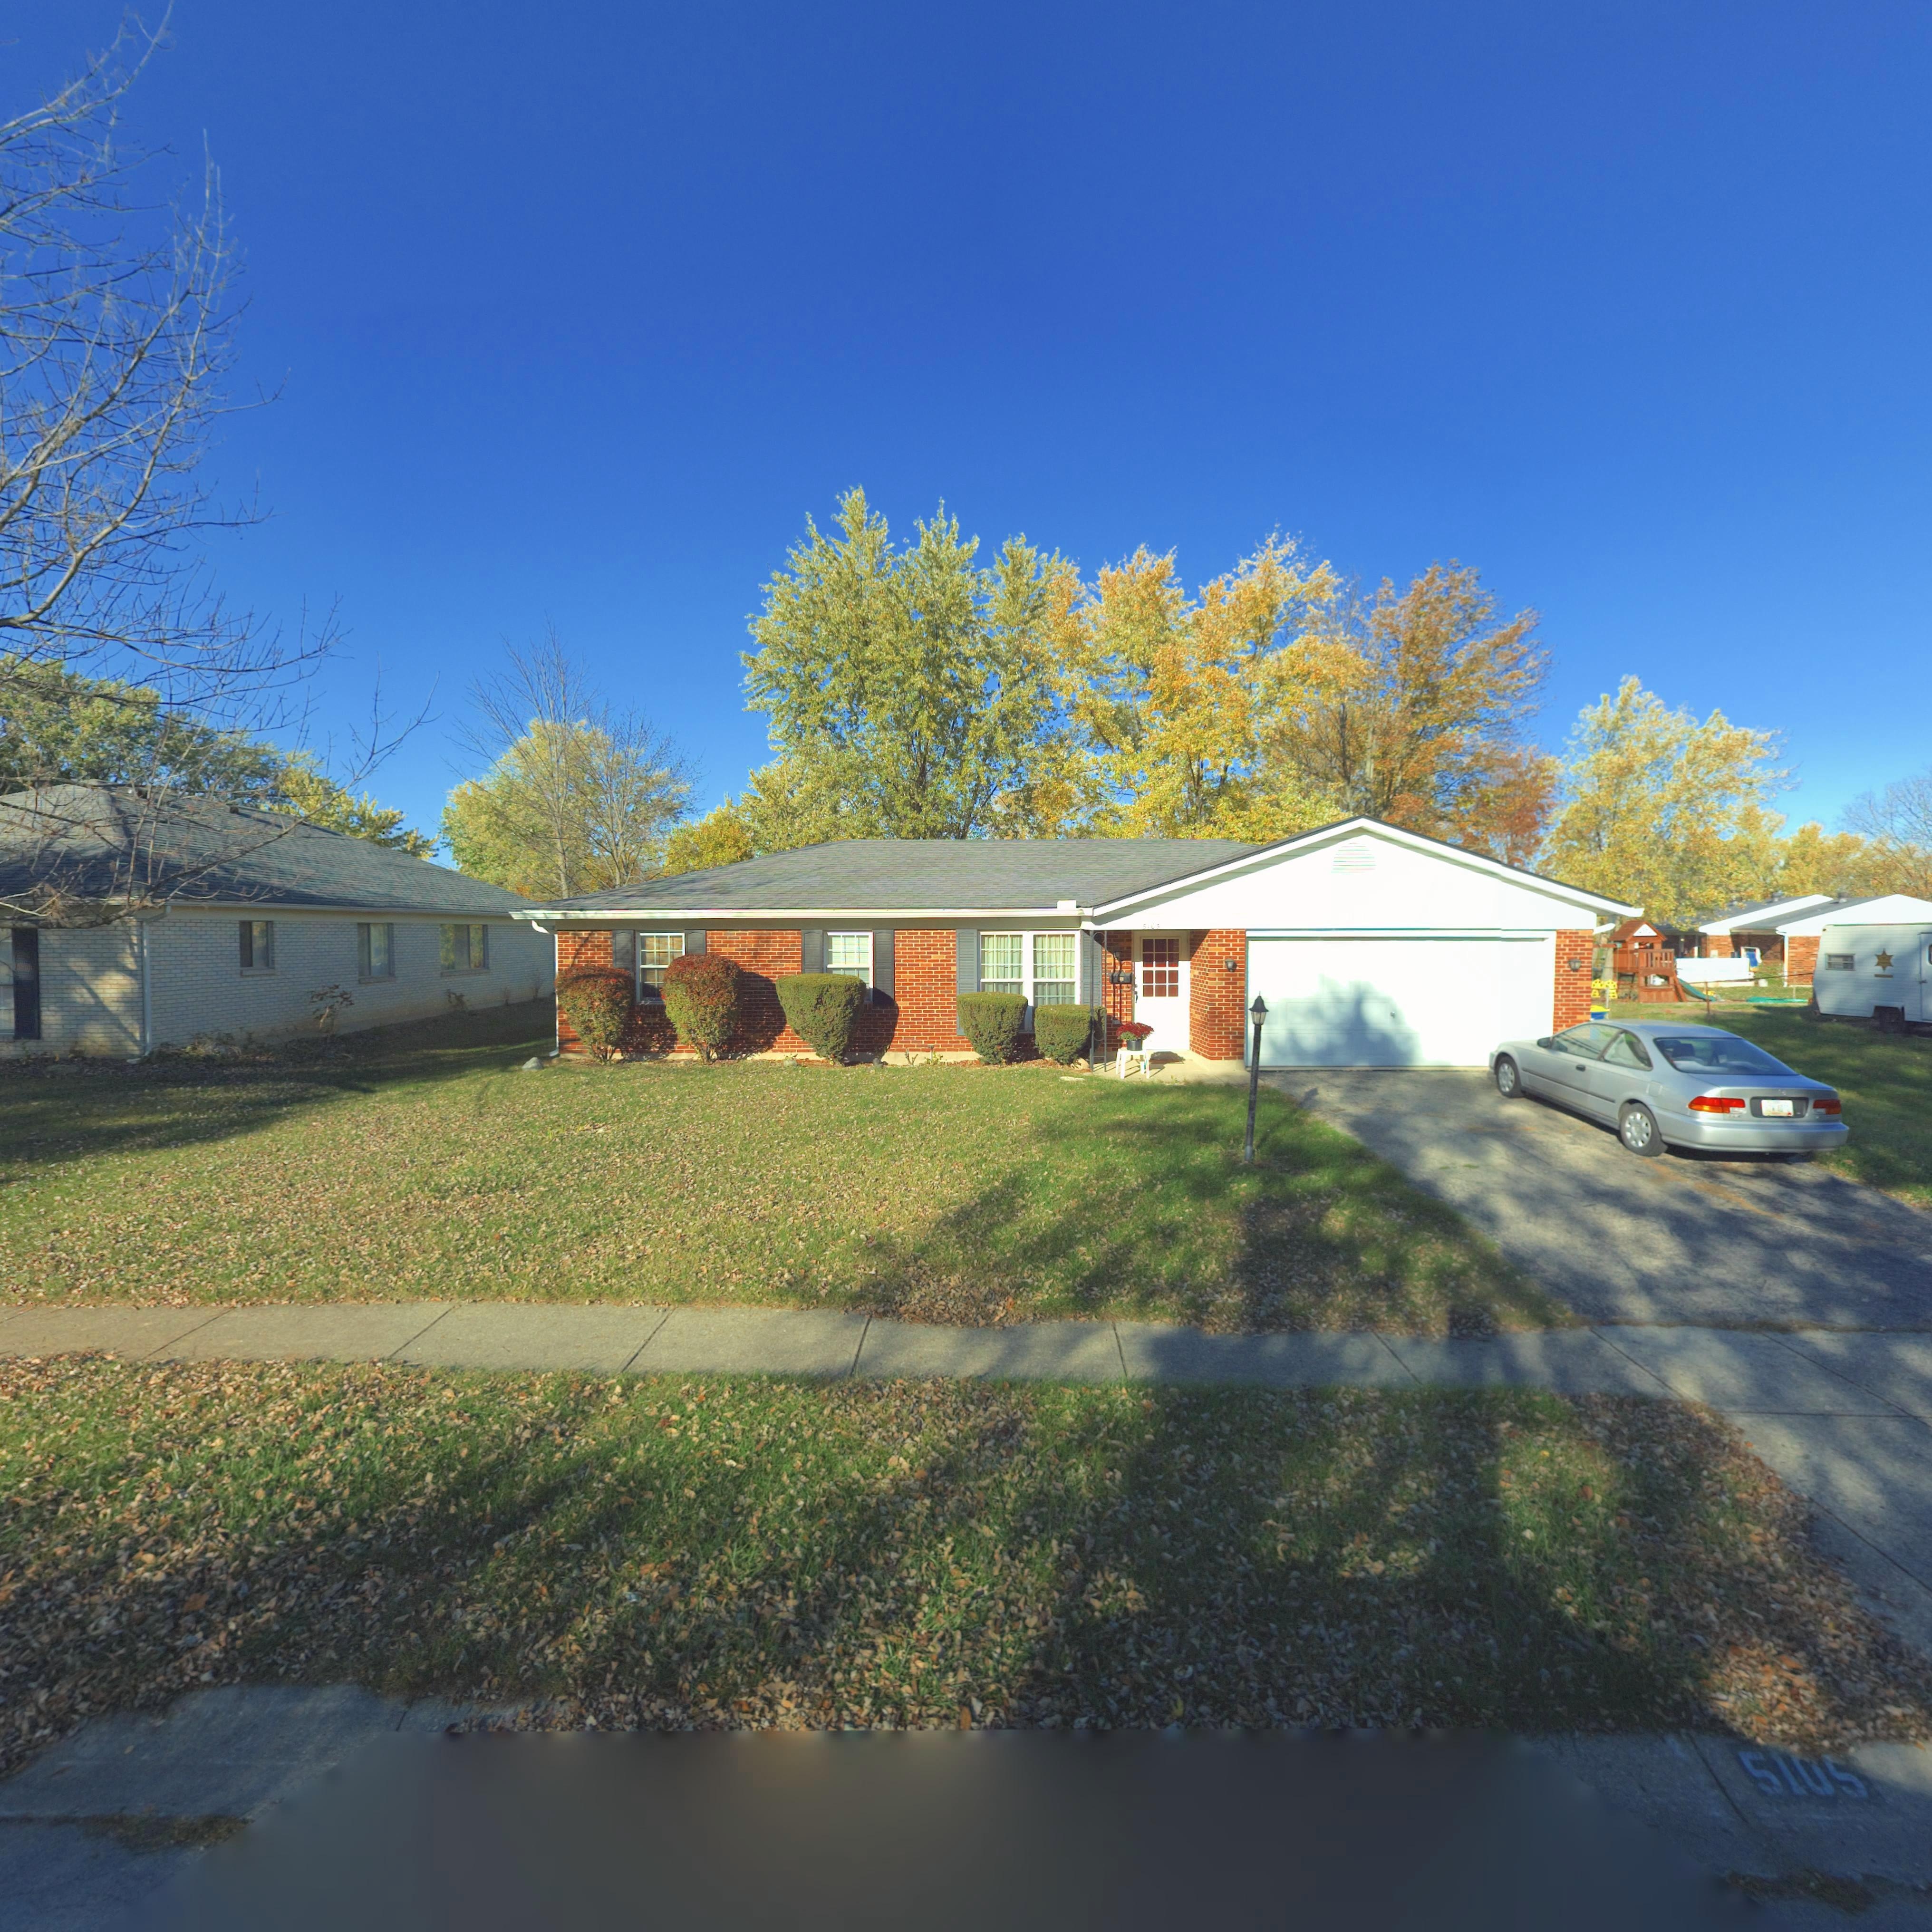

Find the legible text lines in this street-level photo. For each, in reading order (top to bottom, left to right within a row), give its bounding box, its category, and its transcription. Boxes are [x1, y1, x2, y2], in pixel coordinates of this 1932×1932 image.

[1141, 923, 1160, 930] StreetNumber: 5105
[1734, 1749, 1874, 1798] StreetNumber: 5105